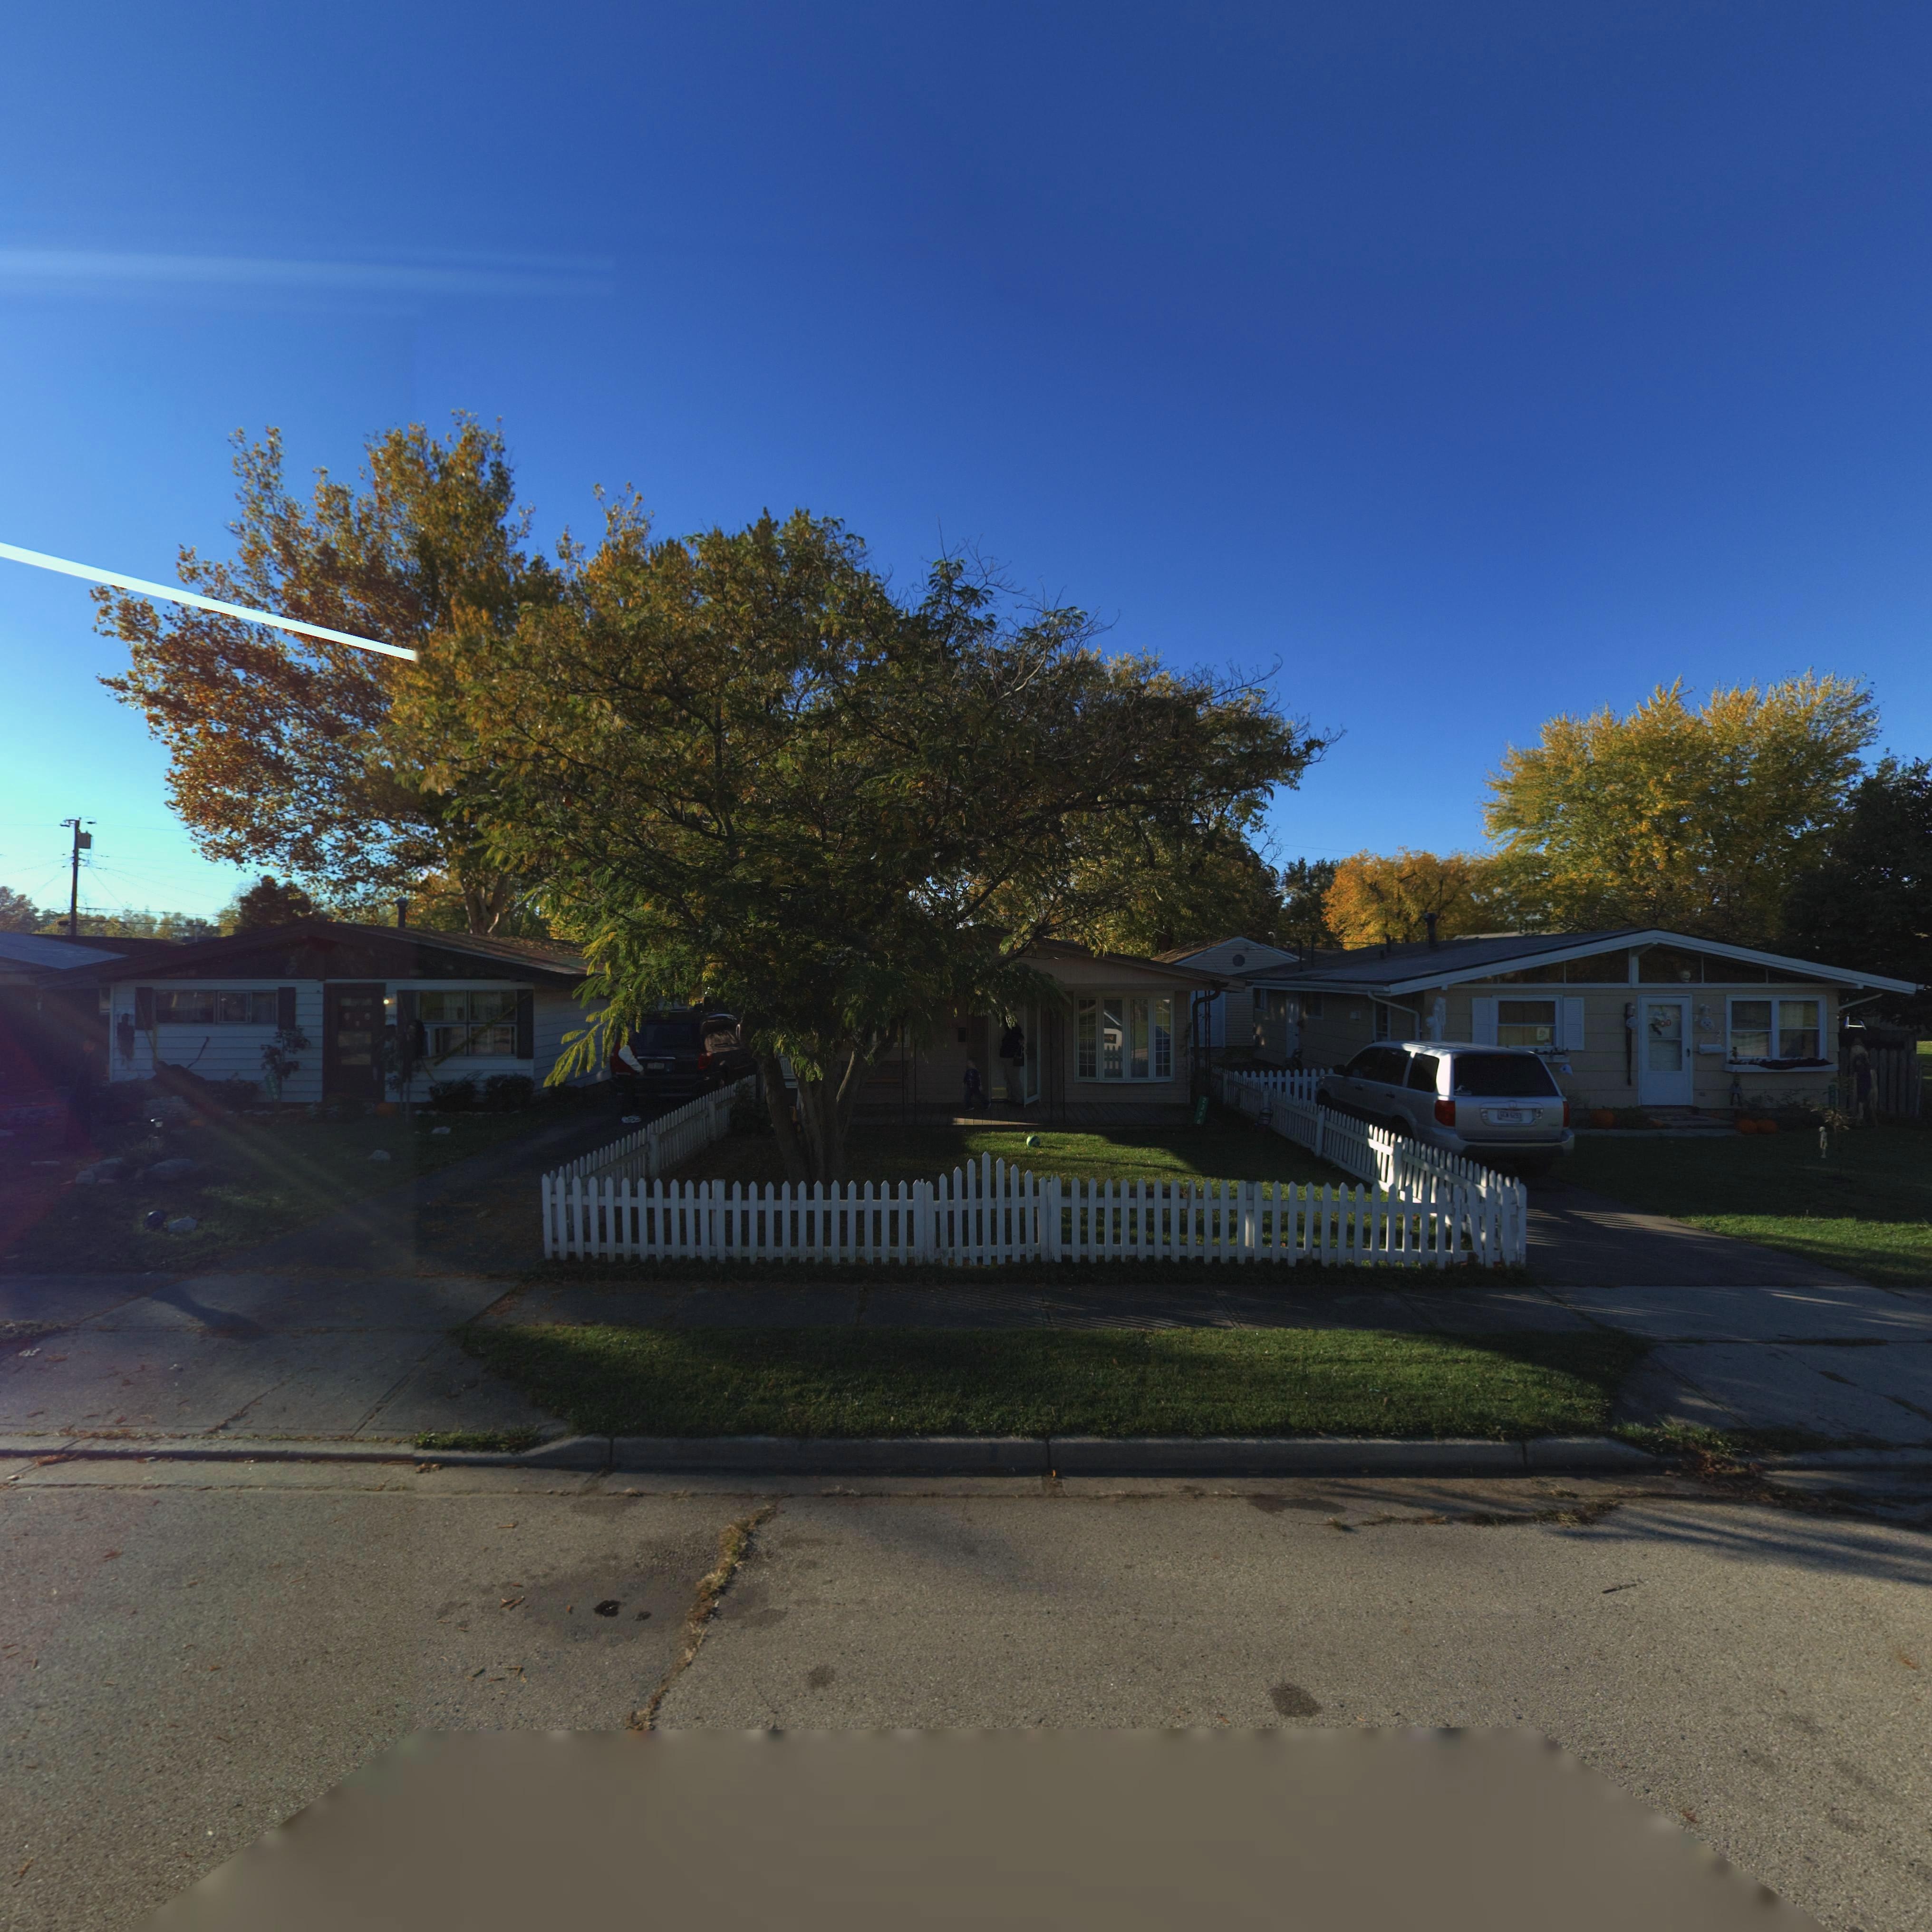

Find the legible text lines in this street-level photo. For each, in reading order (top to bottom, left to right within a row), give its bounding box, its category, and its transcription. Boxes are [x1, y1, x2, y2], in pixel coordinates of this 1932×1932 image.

[1692, 1013, 1723, 1038] StreetNumber: 2**2
[1195, 1095, 1208, 1125] StreetNumber: 2396